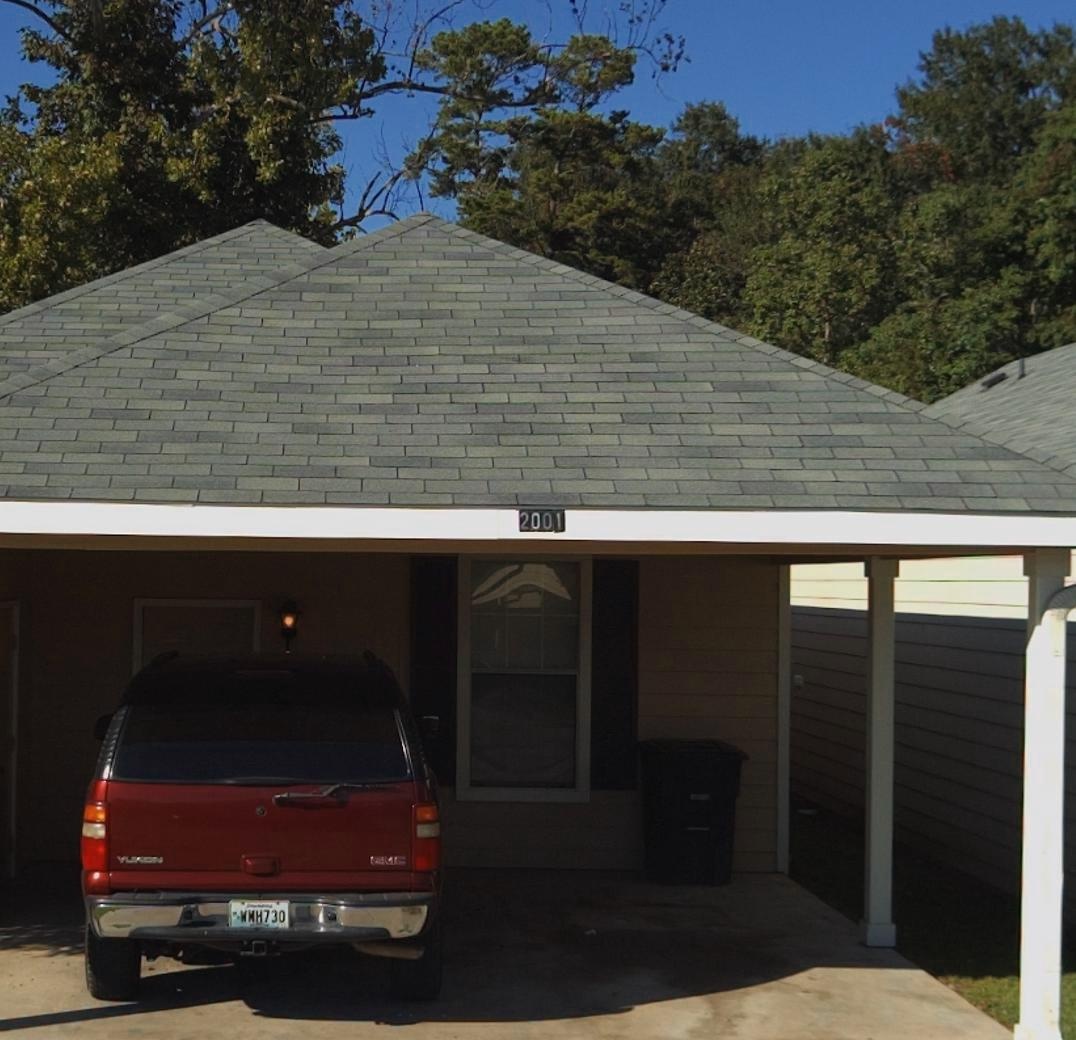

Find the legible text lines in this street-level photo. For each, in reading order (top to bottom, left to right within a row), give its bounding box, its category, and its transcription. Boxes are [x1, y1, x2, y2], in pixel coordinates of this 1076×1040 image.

[519, 510, 563, 531] StreetNumber: 2001
[113, 855, 165, 865] None: YUKON
[367, 854, 408, 866] None: GMC
[238, 908, 287, 925] None: WWH730